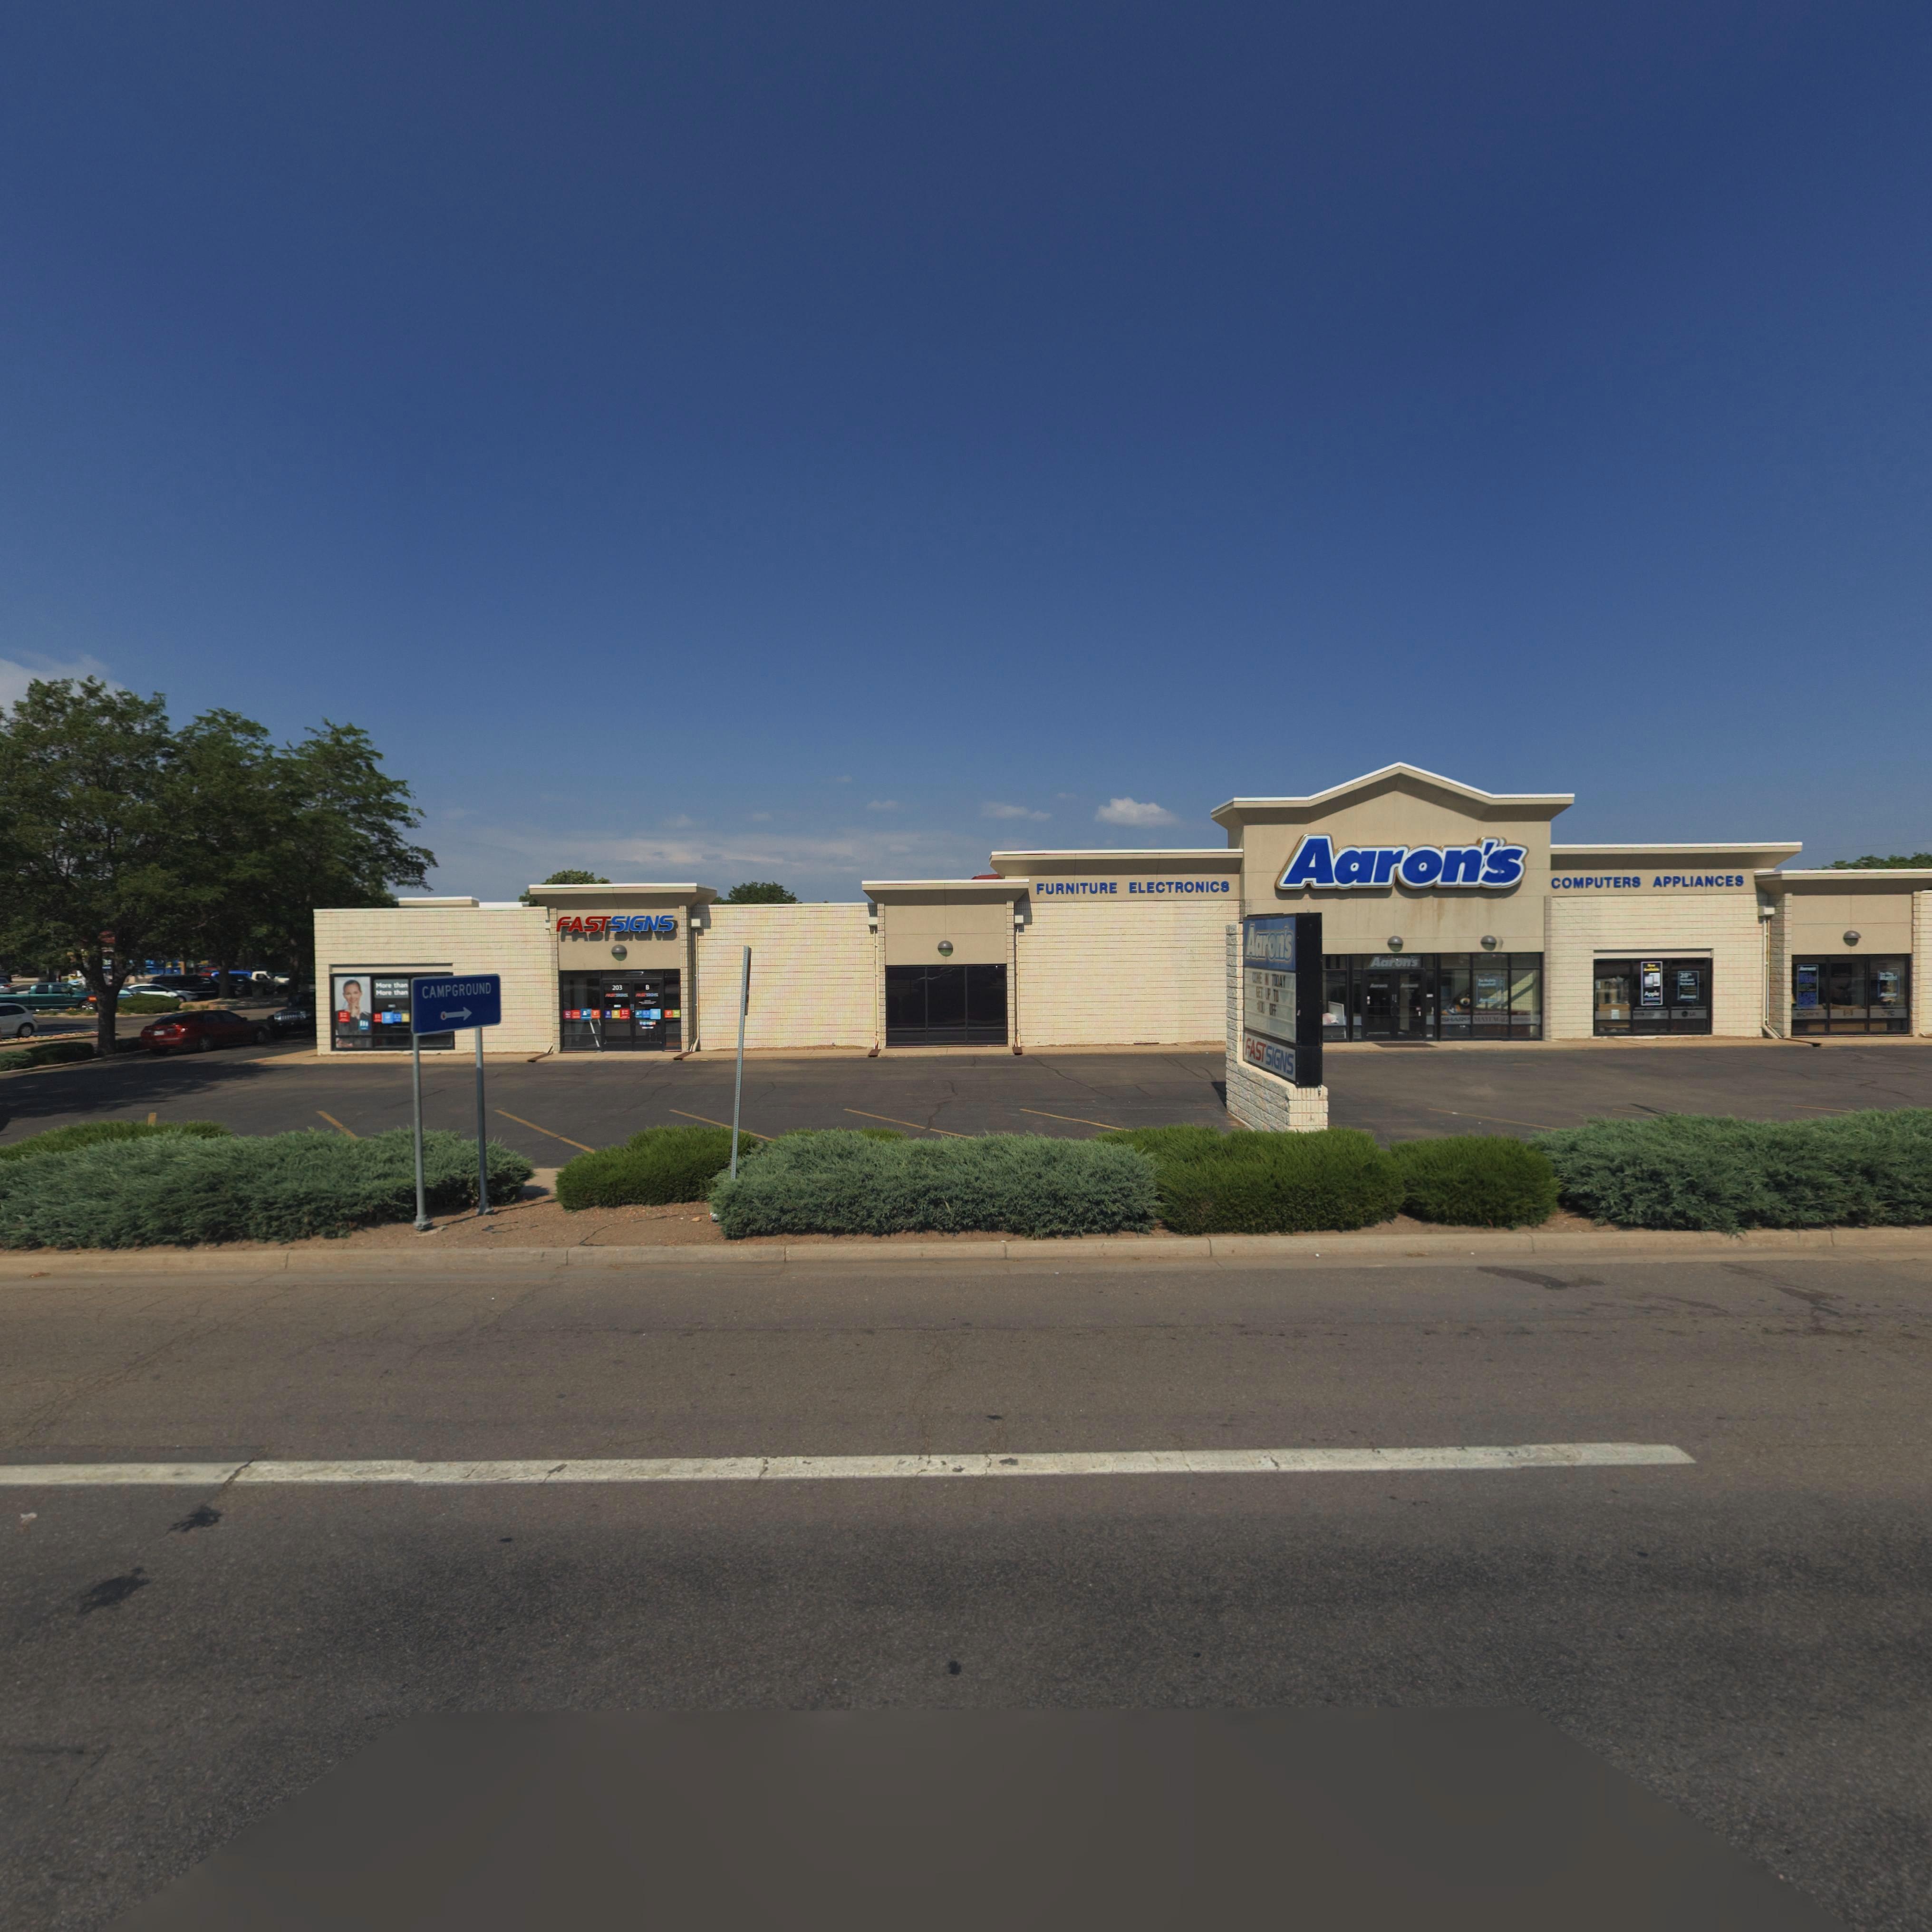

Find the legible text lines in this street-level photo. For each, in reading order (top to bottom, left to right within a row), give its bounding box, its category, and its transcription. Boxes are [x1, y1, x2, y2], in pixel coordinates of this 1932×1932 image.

[1274, 832, 1527, 890] BusinessName: Aaron's
[556, 915, 675, 932] BusinessName: FAST SIGNS
[1245, 924, 1293, 962] BusinessName: Aaron's
[1369, 956, 1418, 967] BusinessName: Aaron's
[1798, 966, 1816, 971] BusinessName: Aaron's
[611, 984, 622, 990] StreetNumber: 203
[645, 984, 649, 990] SecondaryUnitDesignator: B
[1370, 983, 1388, 987] BusinessName: Aaron's
[1400, 983, 1418, 987] BusinessName: Aaron's
[605, 993, 628, 997] BusinessName: FAST SIGNS
[635, 993, 658, 997] BusinessName: FAST SIGNS
[1680, 994, 1697, 999] BusinessName: Aaron's
[1478, 997, 1496, 1002] BusinessName: Aaron's
[1244, 1037, 1294, 1075] BusinessName: FAST SIGNS